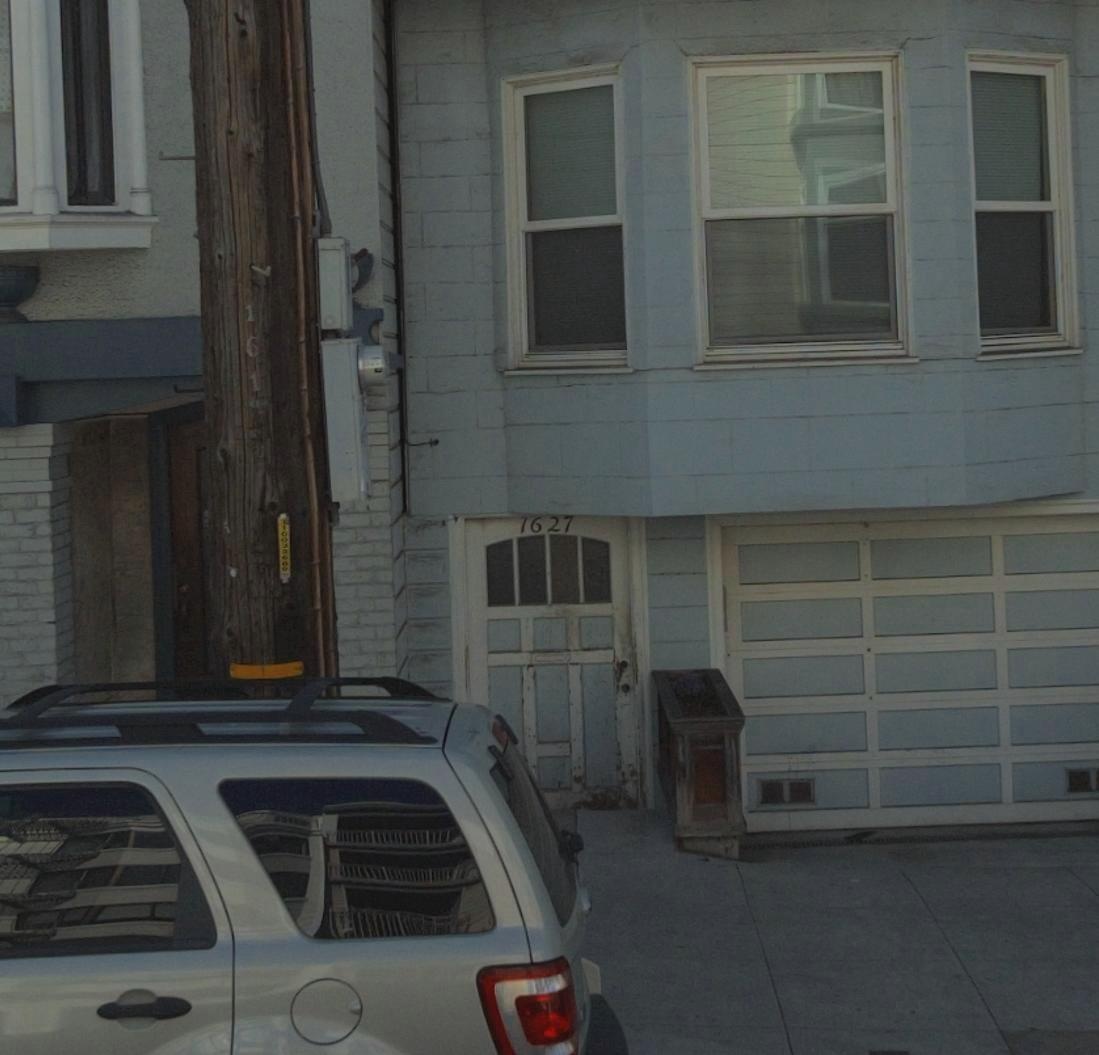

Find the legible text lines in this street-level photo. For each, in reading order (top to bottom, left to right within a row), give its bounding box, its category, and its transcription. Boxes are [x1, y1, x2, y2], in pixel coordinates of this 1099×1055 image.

[244, 299, 265, 393] StreetNumber: 161
[279, 517, 290, 573] None: 100*****
[518, 514, 576, 535] StreetNumber: 1627